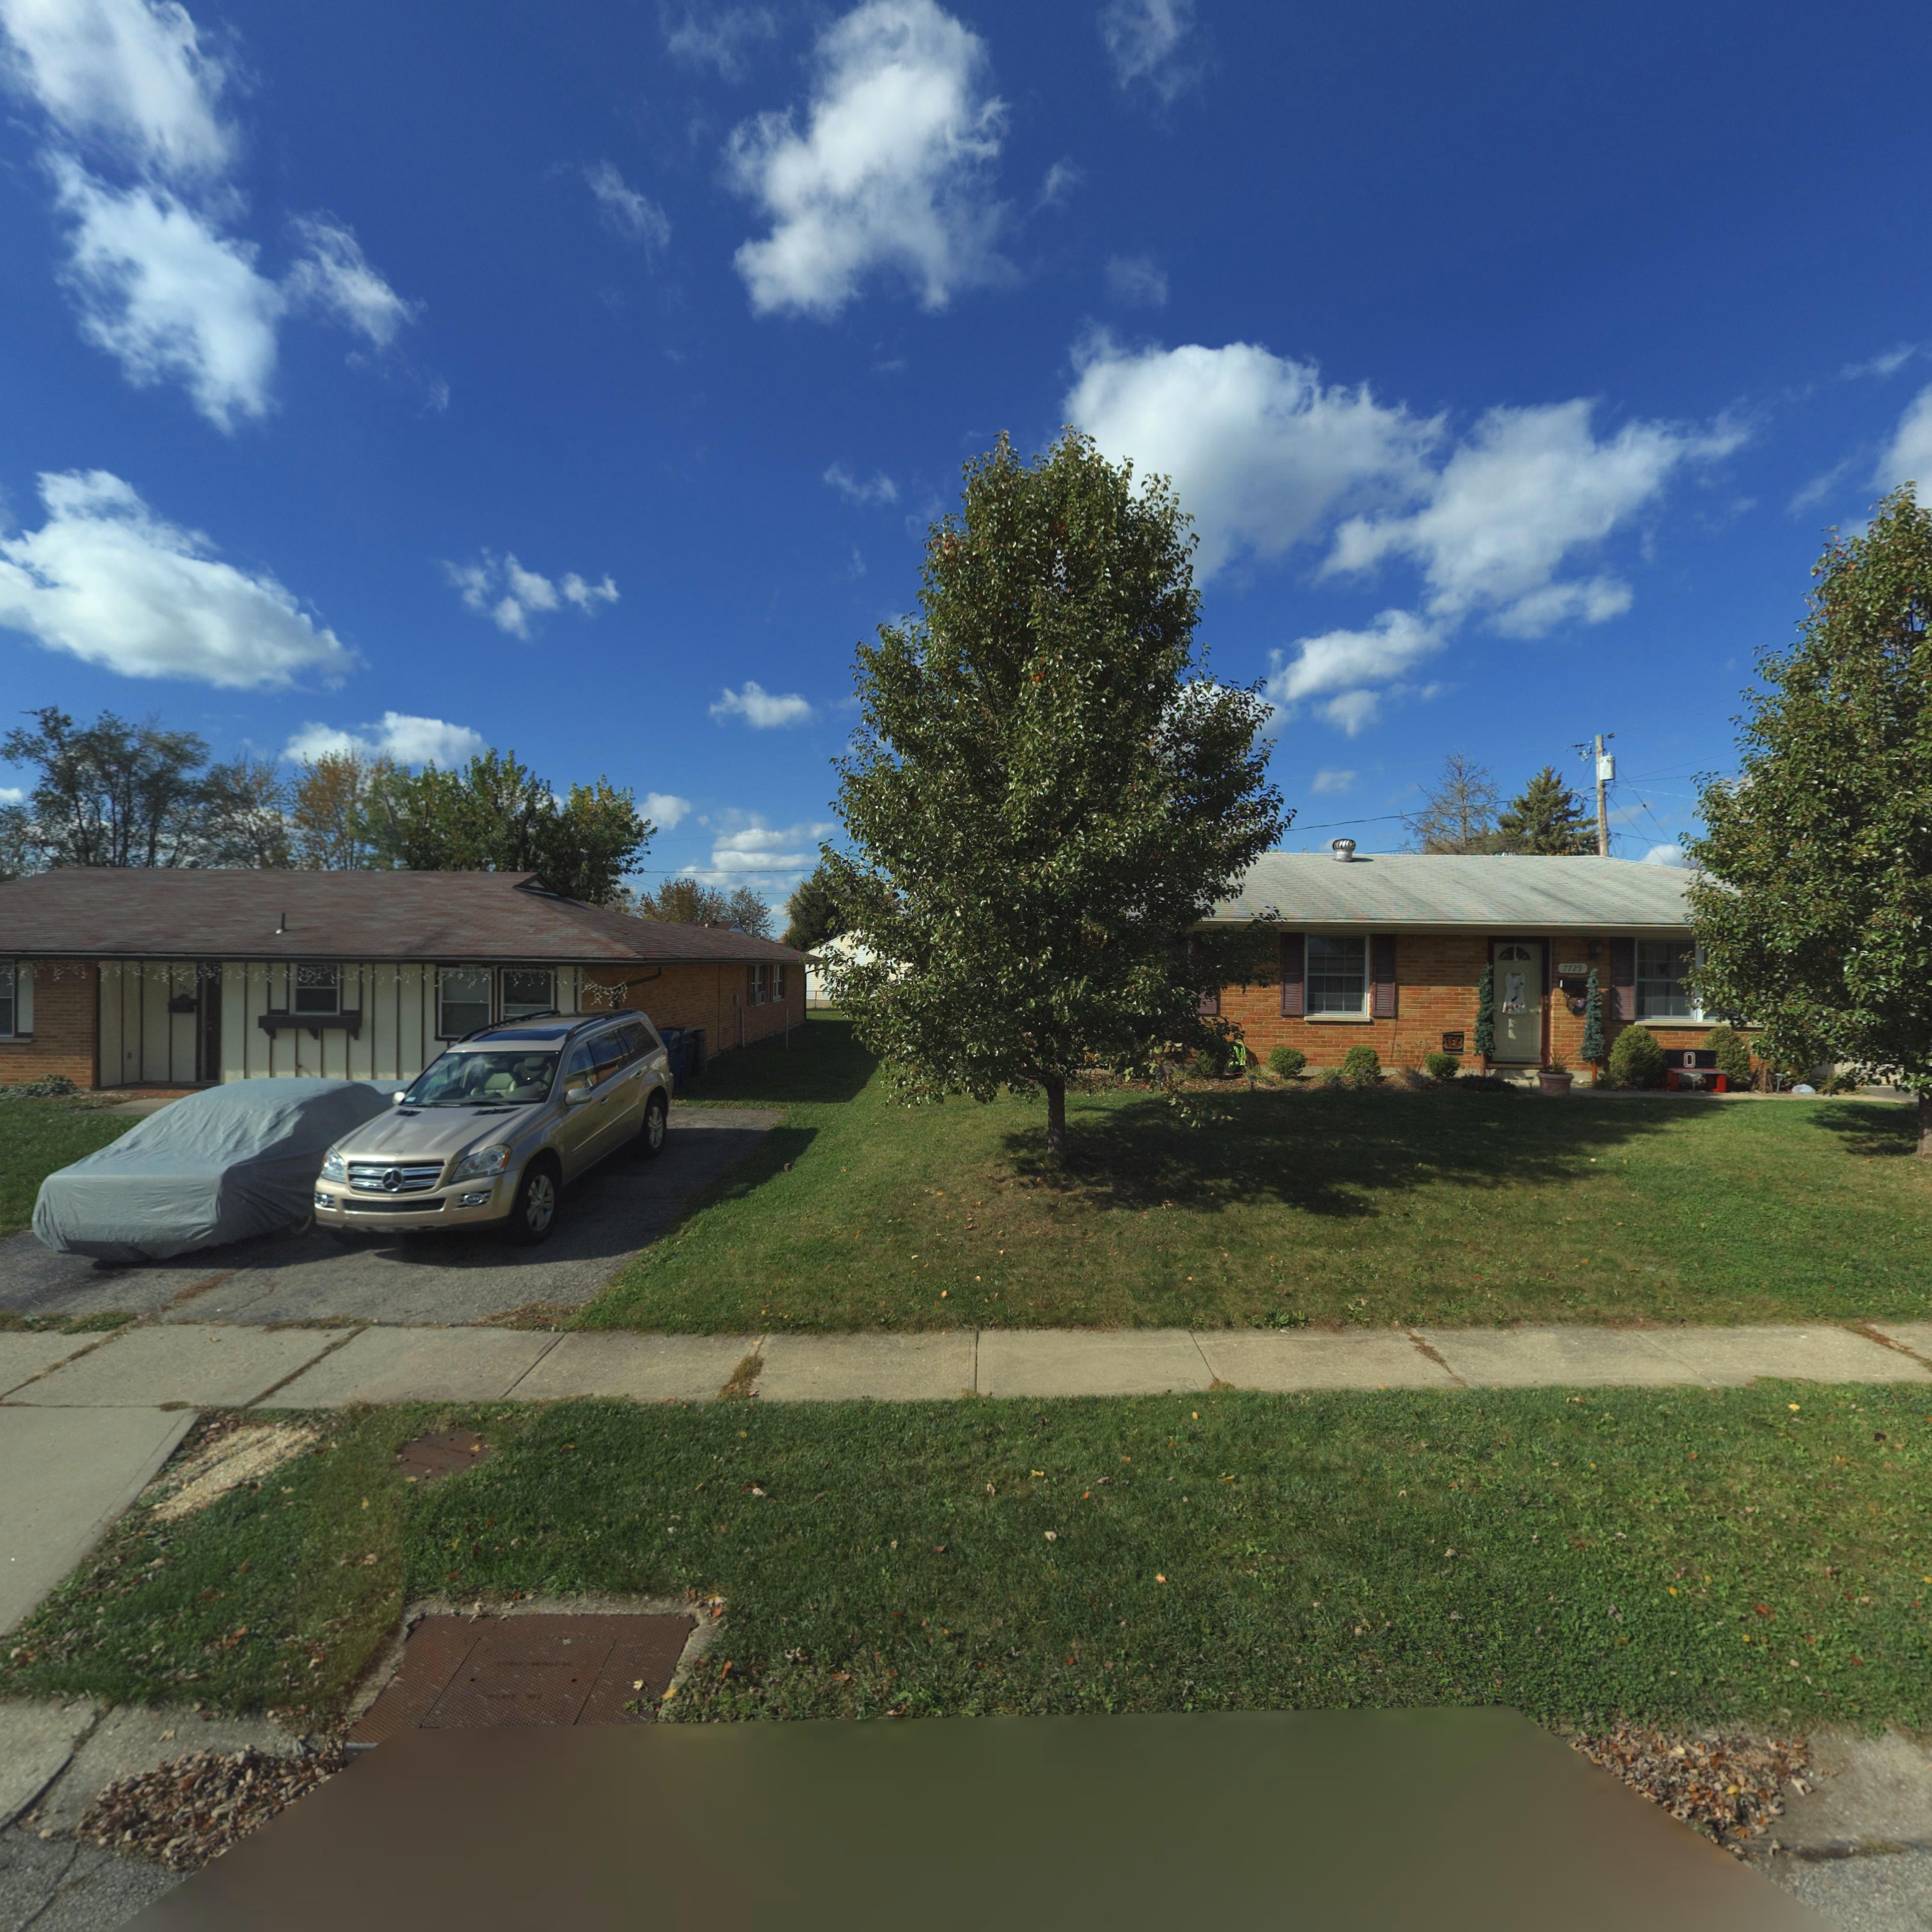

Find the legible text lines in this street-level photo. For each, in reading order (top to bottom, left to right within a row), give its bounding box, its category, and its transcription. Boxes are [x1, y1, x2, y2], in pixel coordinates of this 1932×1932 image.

[1563, 964, 1583, 972] StreetNumber: 7729
[178, 983, 194, 996] StreetNumber: 7*7*
[169, 1002, 189, 1013] StreetNumber: 7***